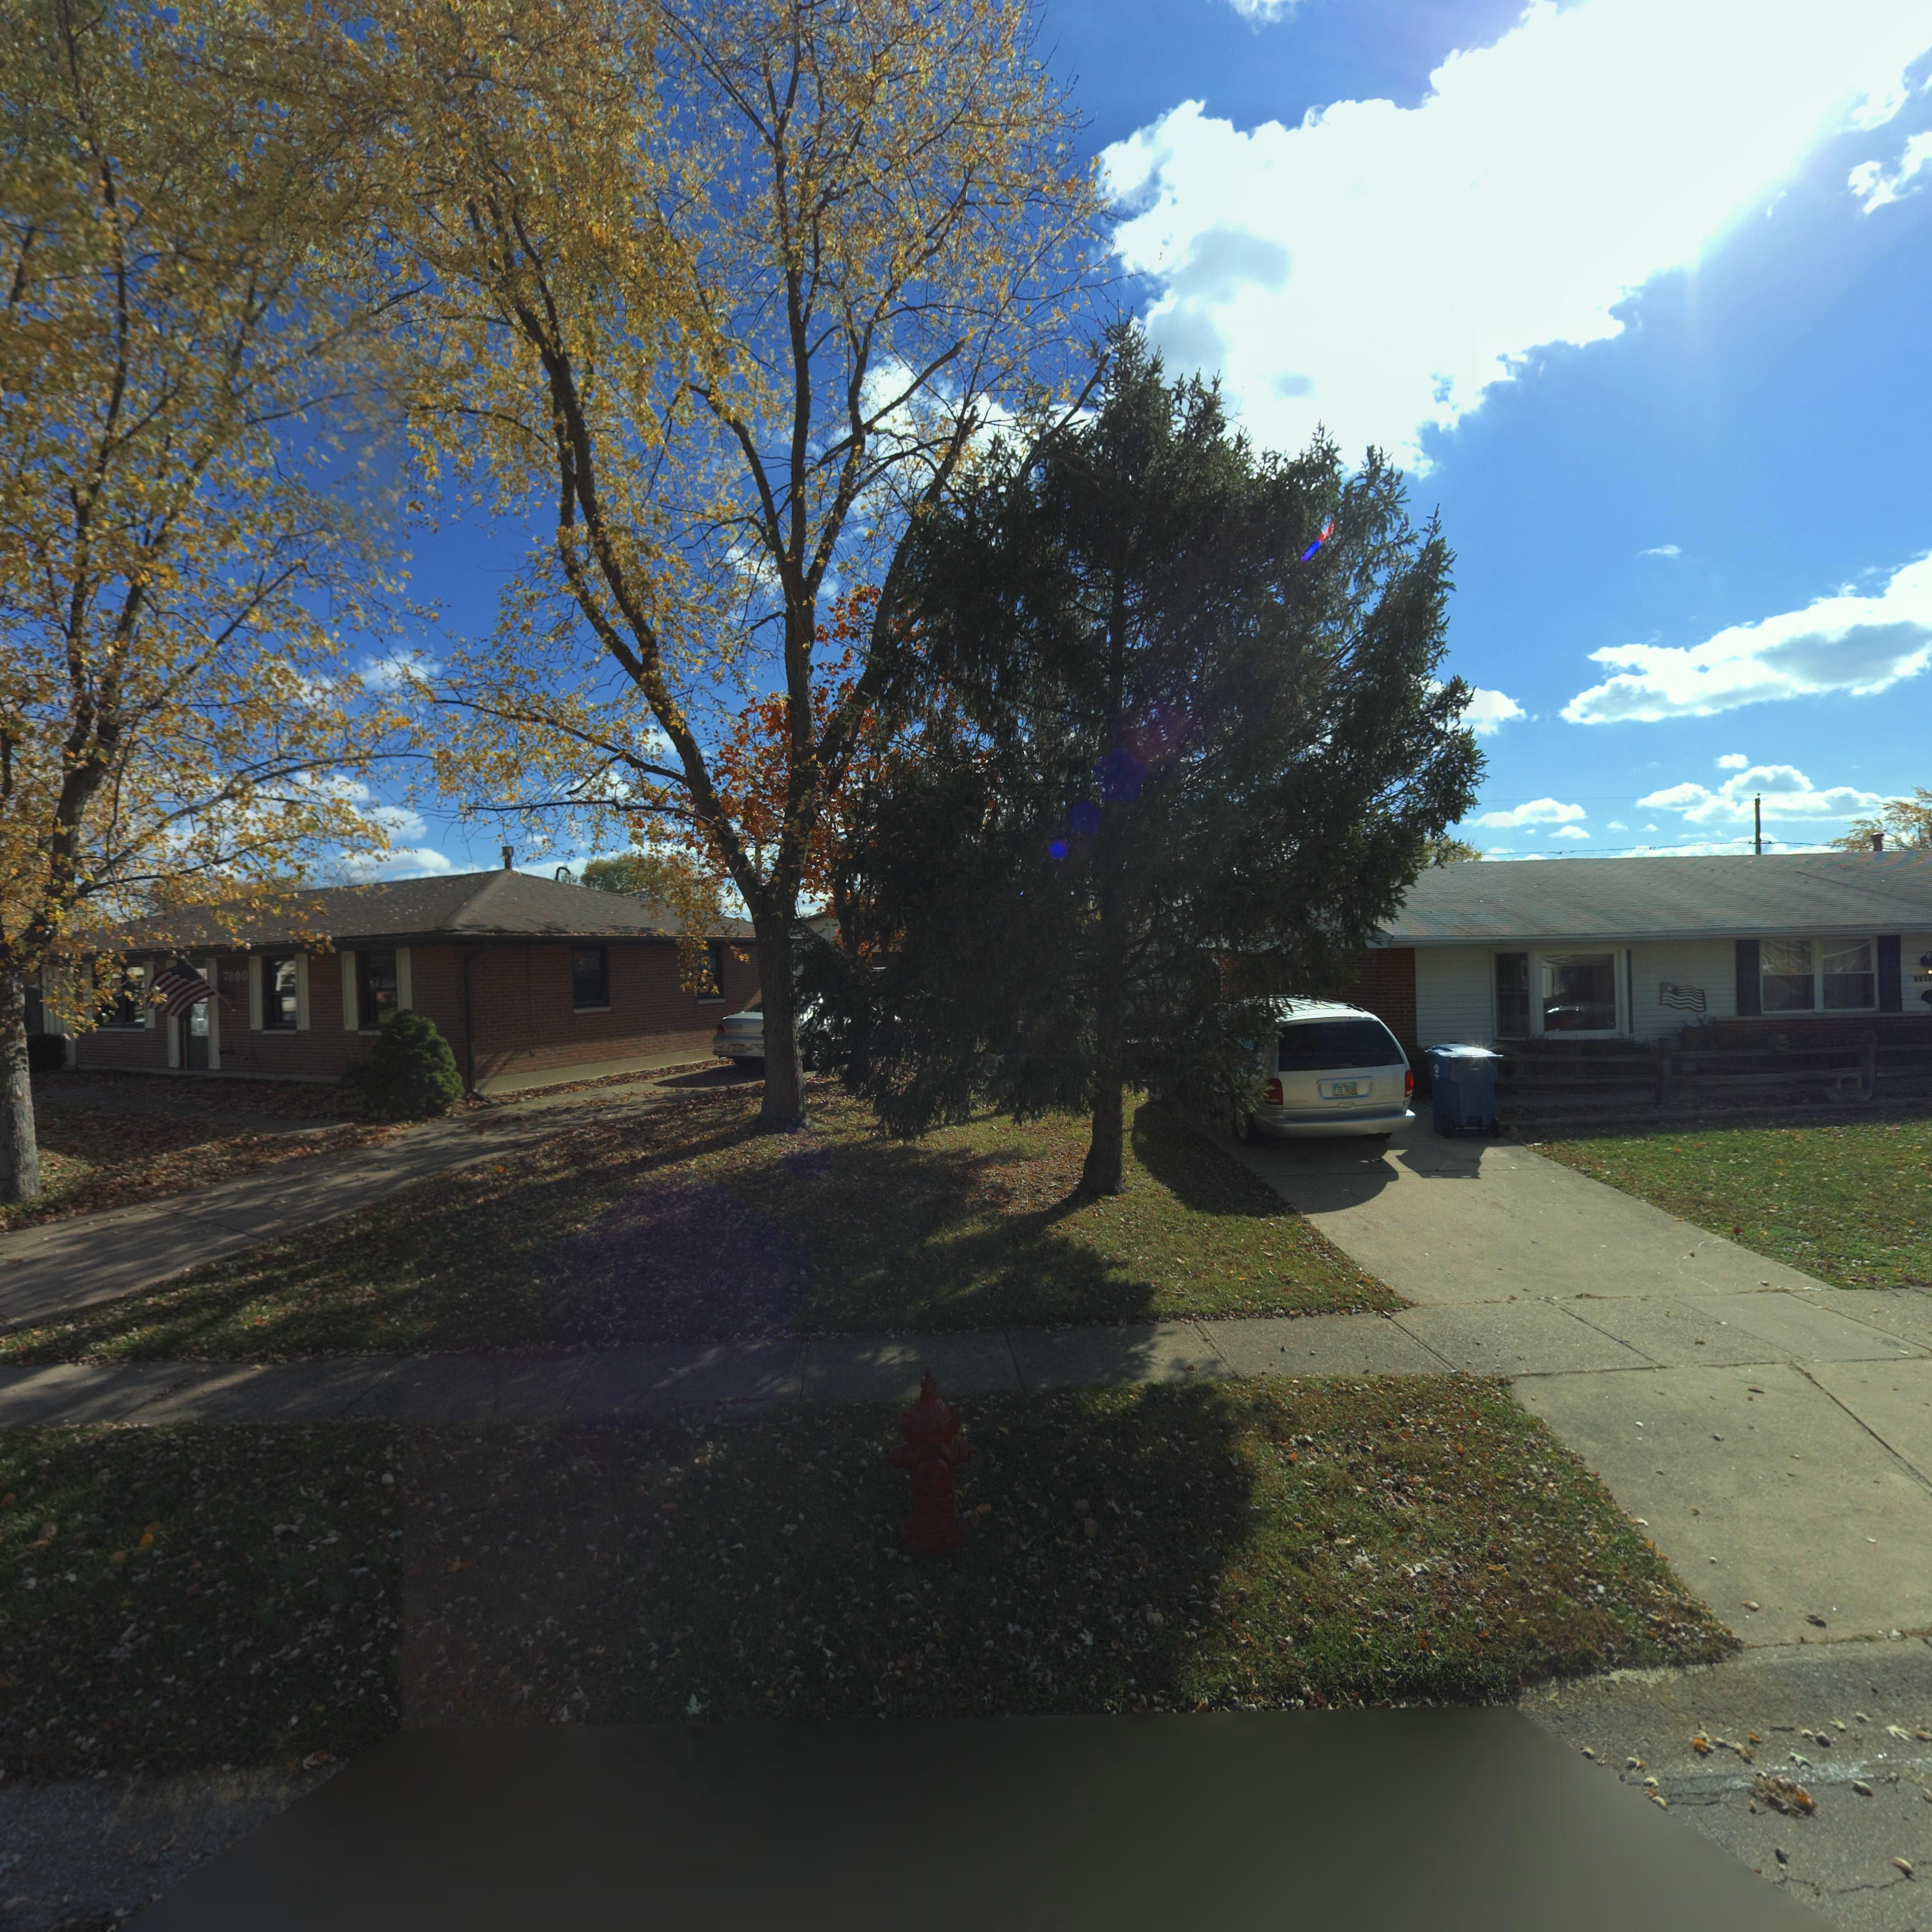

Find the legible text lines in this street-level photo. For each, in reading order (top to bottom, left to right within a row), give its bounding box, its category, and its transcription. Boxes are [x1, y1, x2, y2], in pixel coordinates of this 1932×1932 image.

[222, 970, 249, 982] StreetNumber: 7800